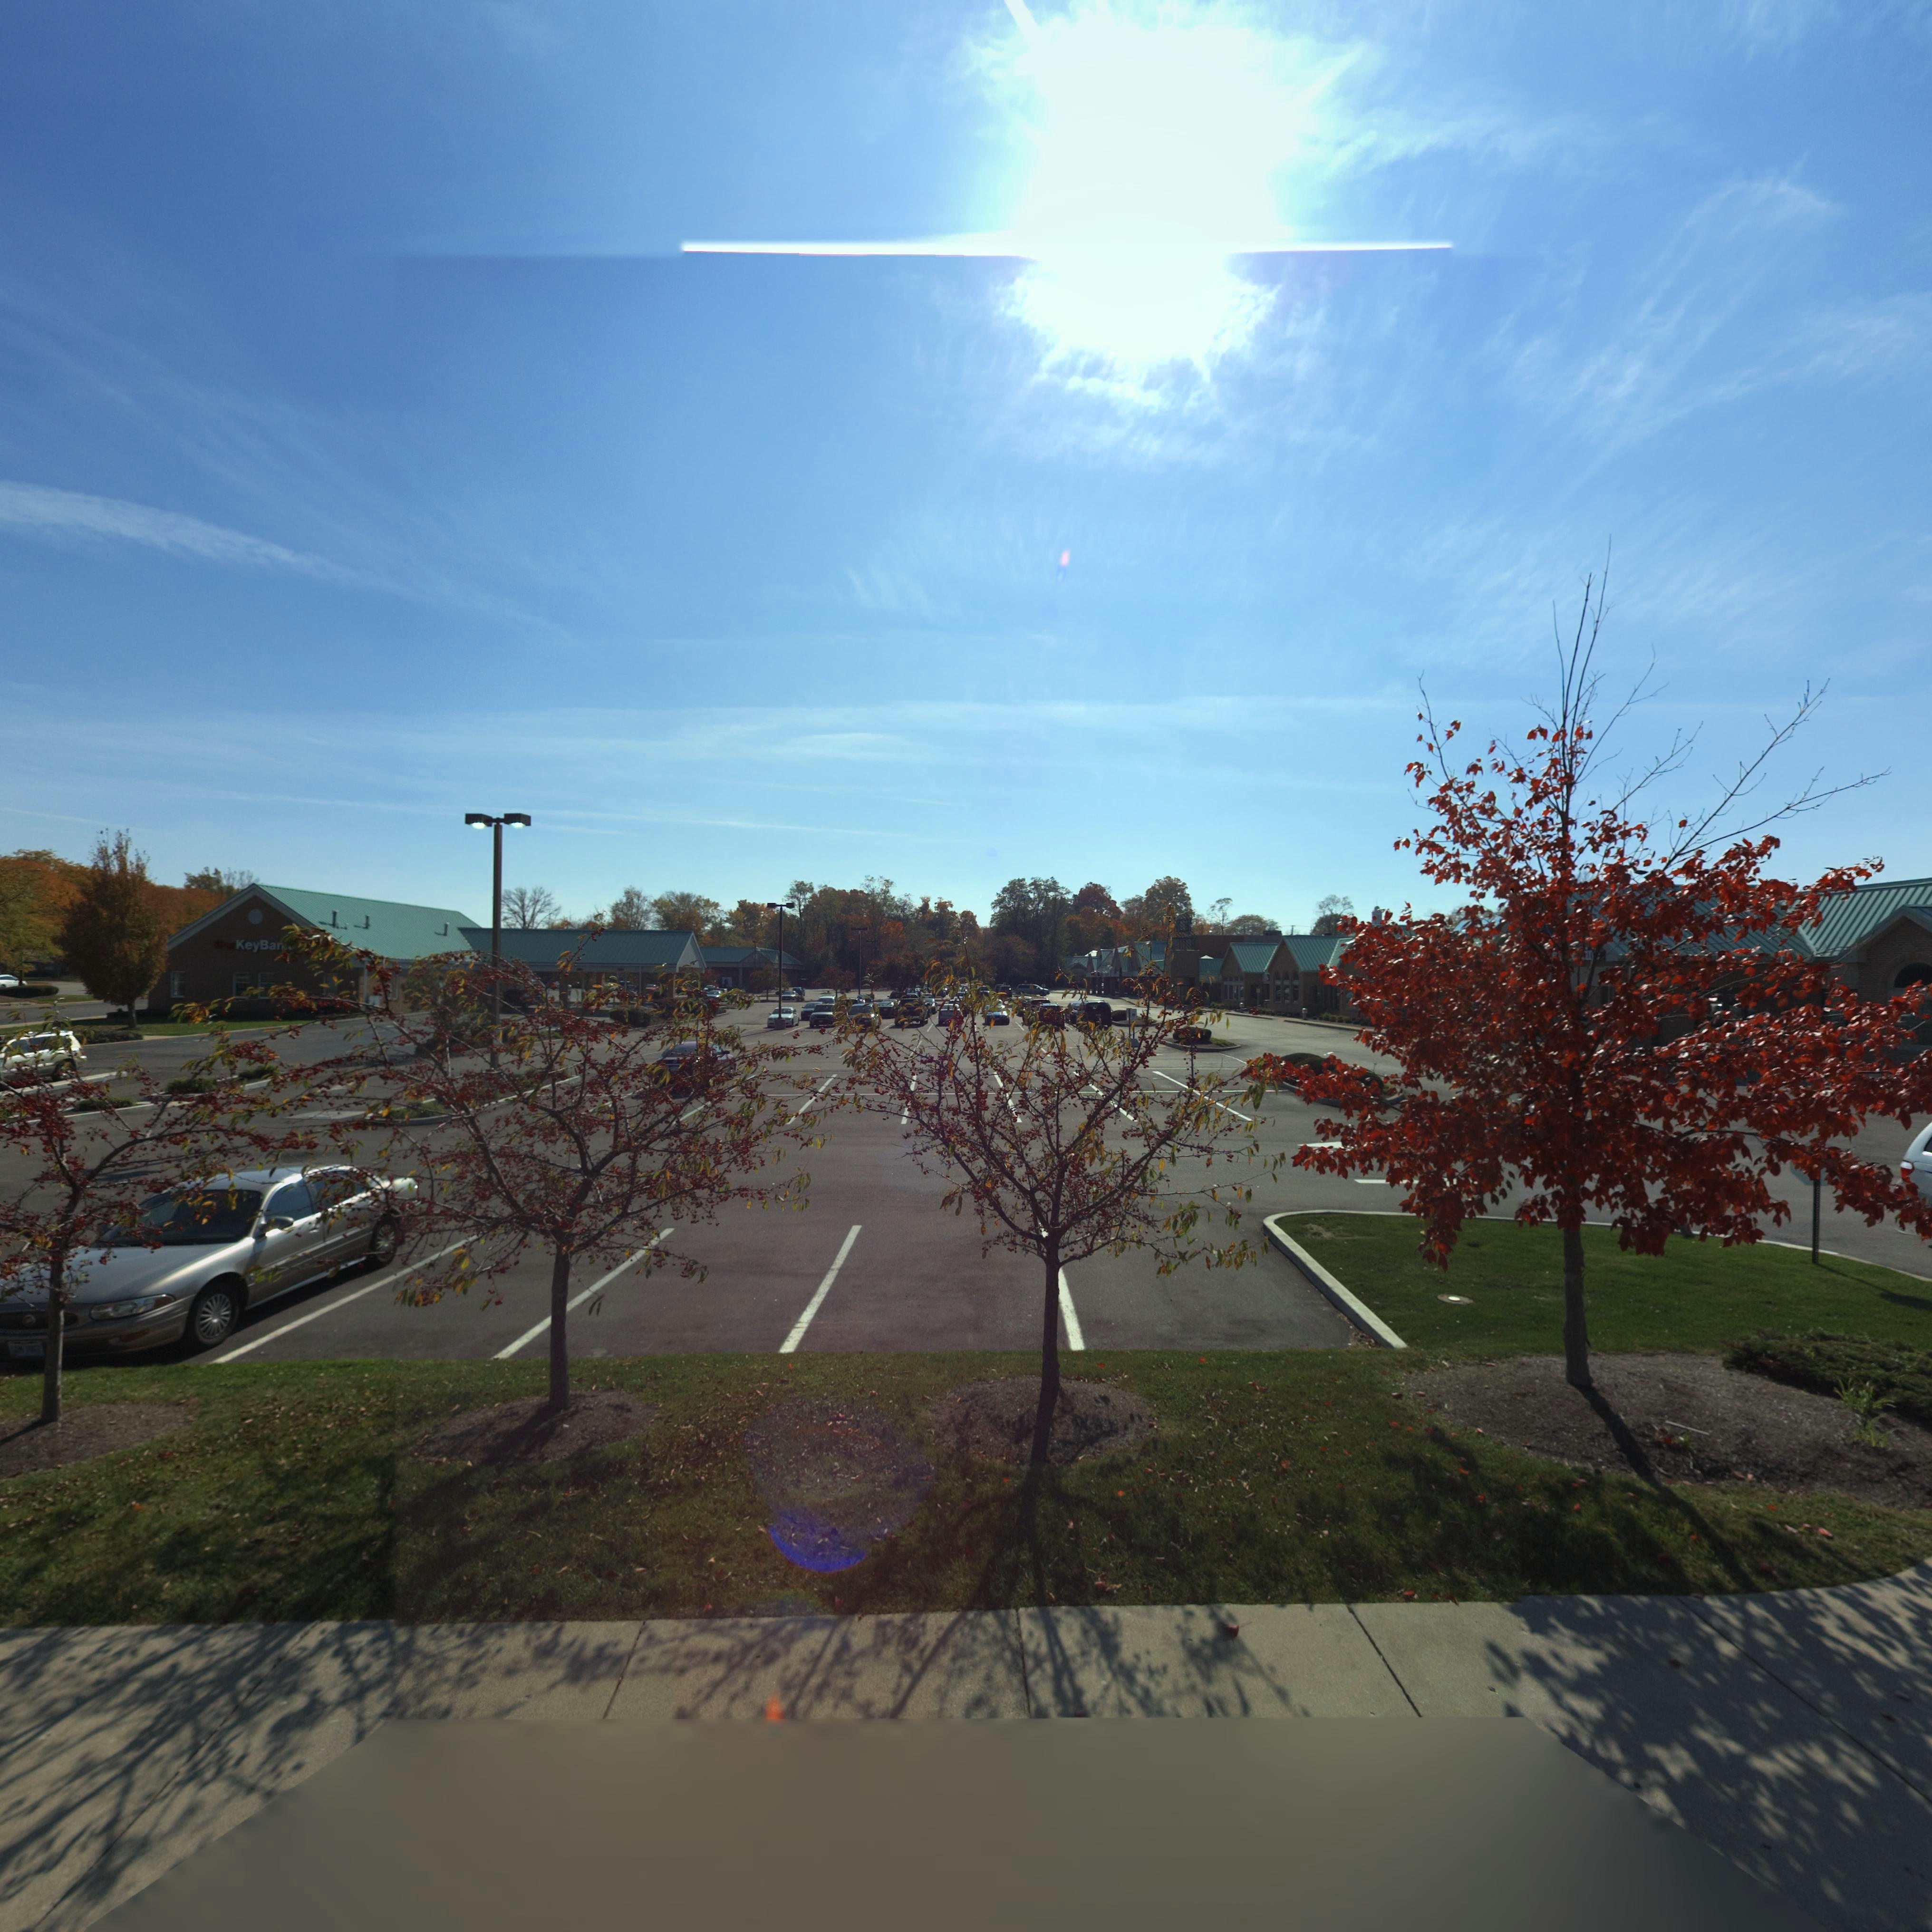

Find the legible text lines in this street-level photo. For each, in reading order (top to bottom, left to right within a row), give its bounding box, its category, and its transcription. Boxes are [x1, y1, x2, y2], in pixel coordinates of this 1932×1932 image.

[235, 938, 278, 954] BusinessName: KeyBa